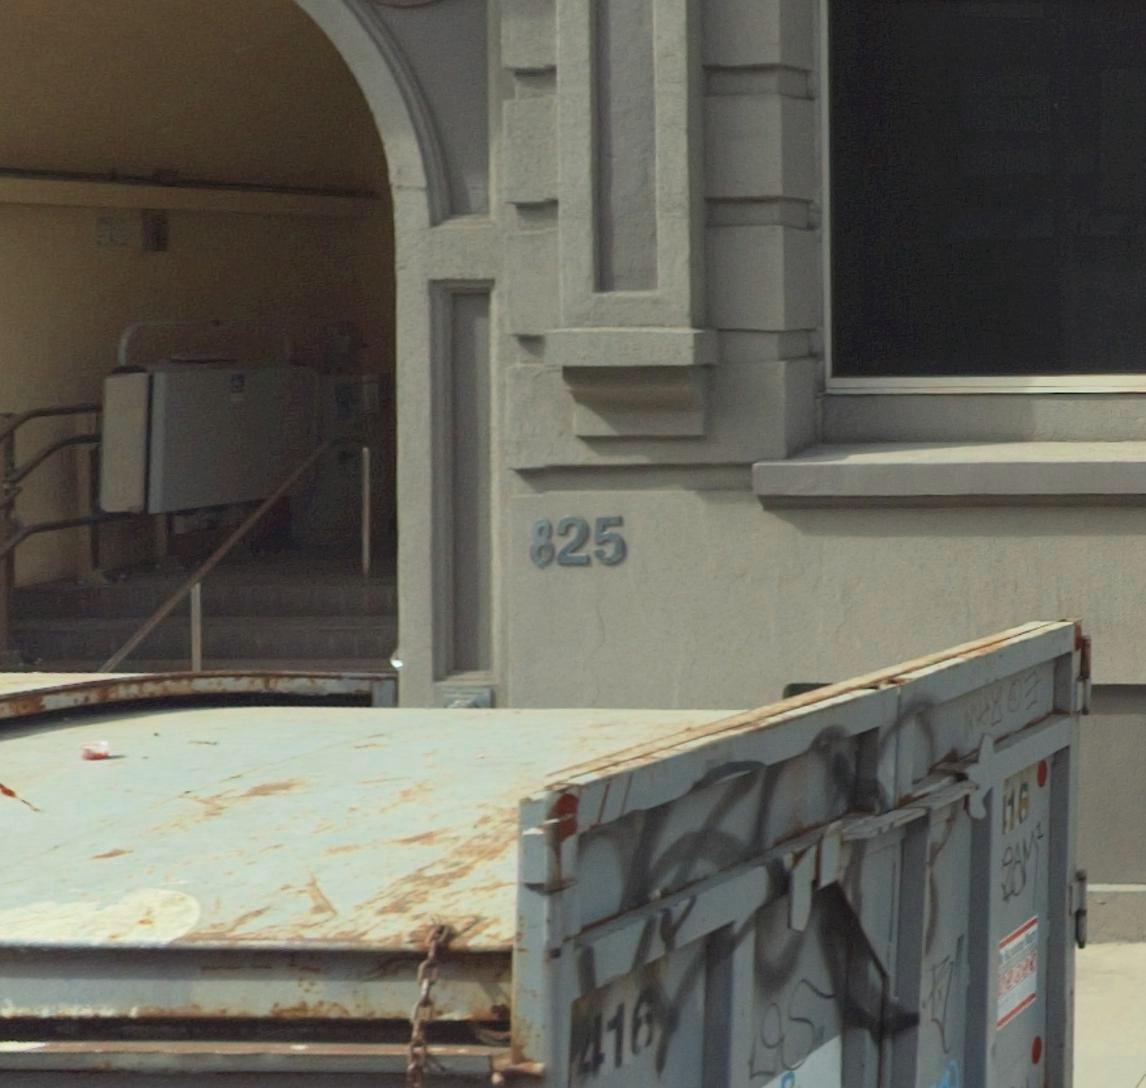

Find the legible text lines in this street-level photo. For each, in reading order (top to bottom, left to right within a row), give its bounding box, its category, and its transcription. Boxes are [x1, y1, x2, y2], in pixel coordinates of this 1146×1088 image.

[525, 512, 632, 572] StreetNumber: 825
[1001, 664, 1044, 717] None: O*
[1005, 775, 1034, 834] None: 16
[1006, 816, 1050, 903] None: AM2
[573, 982, 665, 1085] None: 416